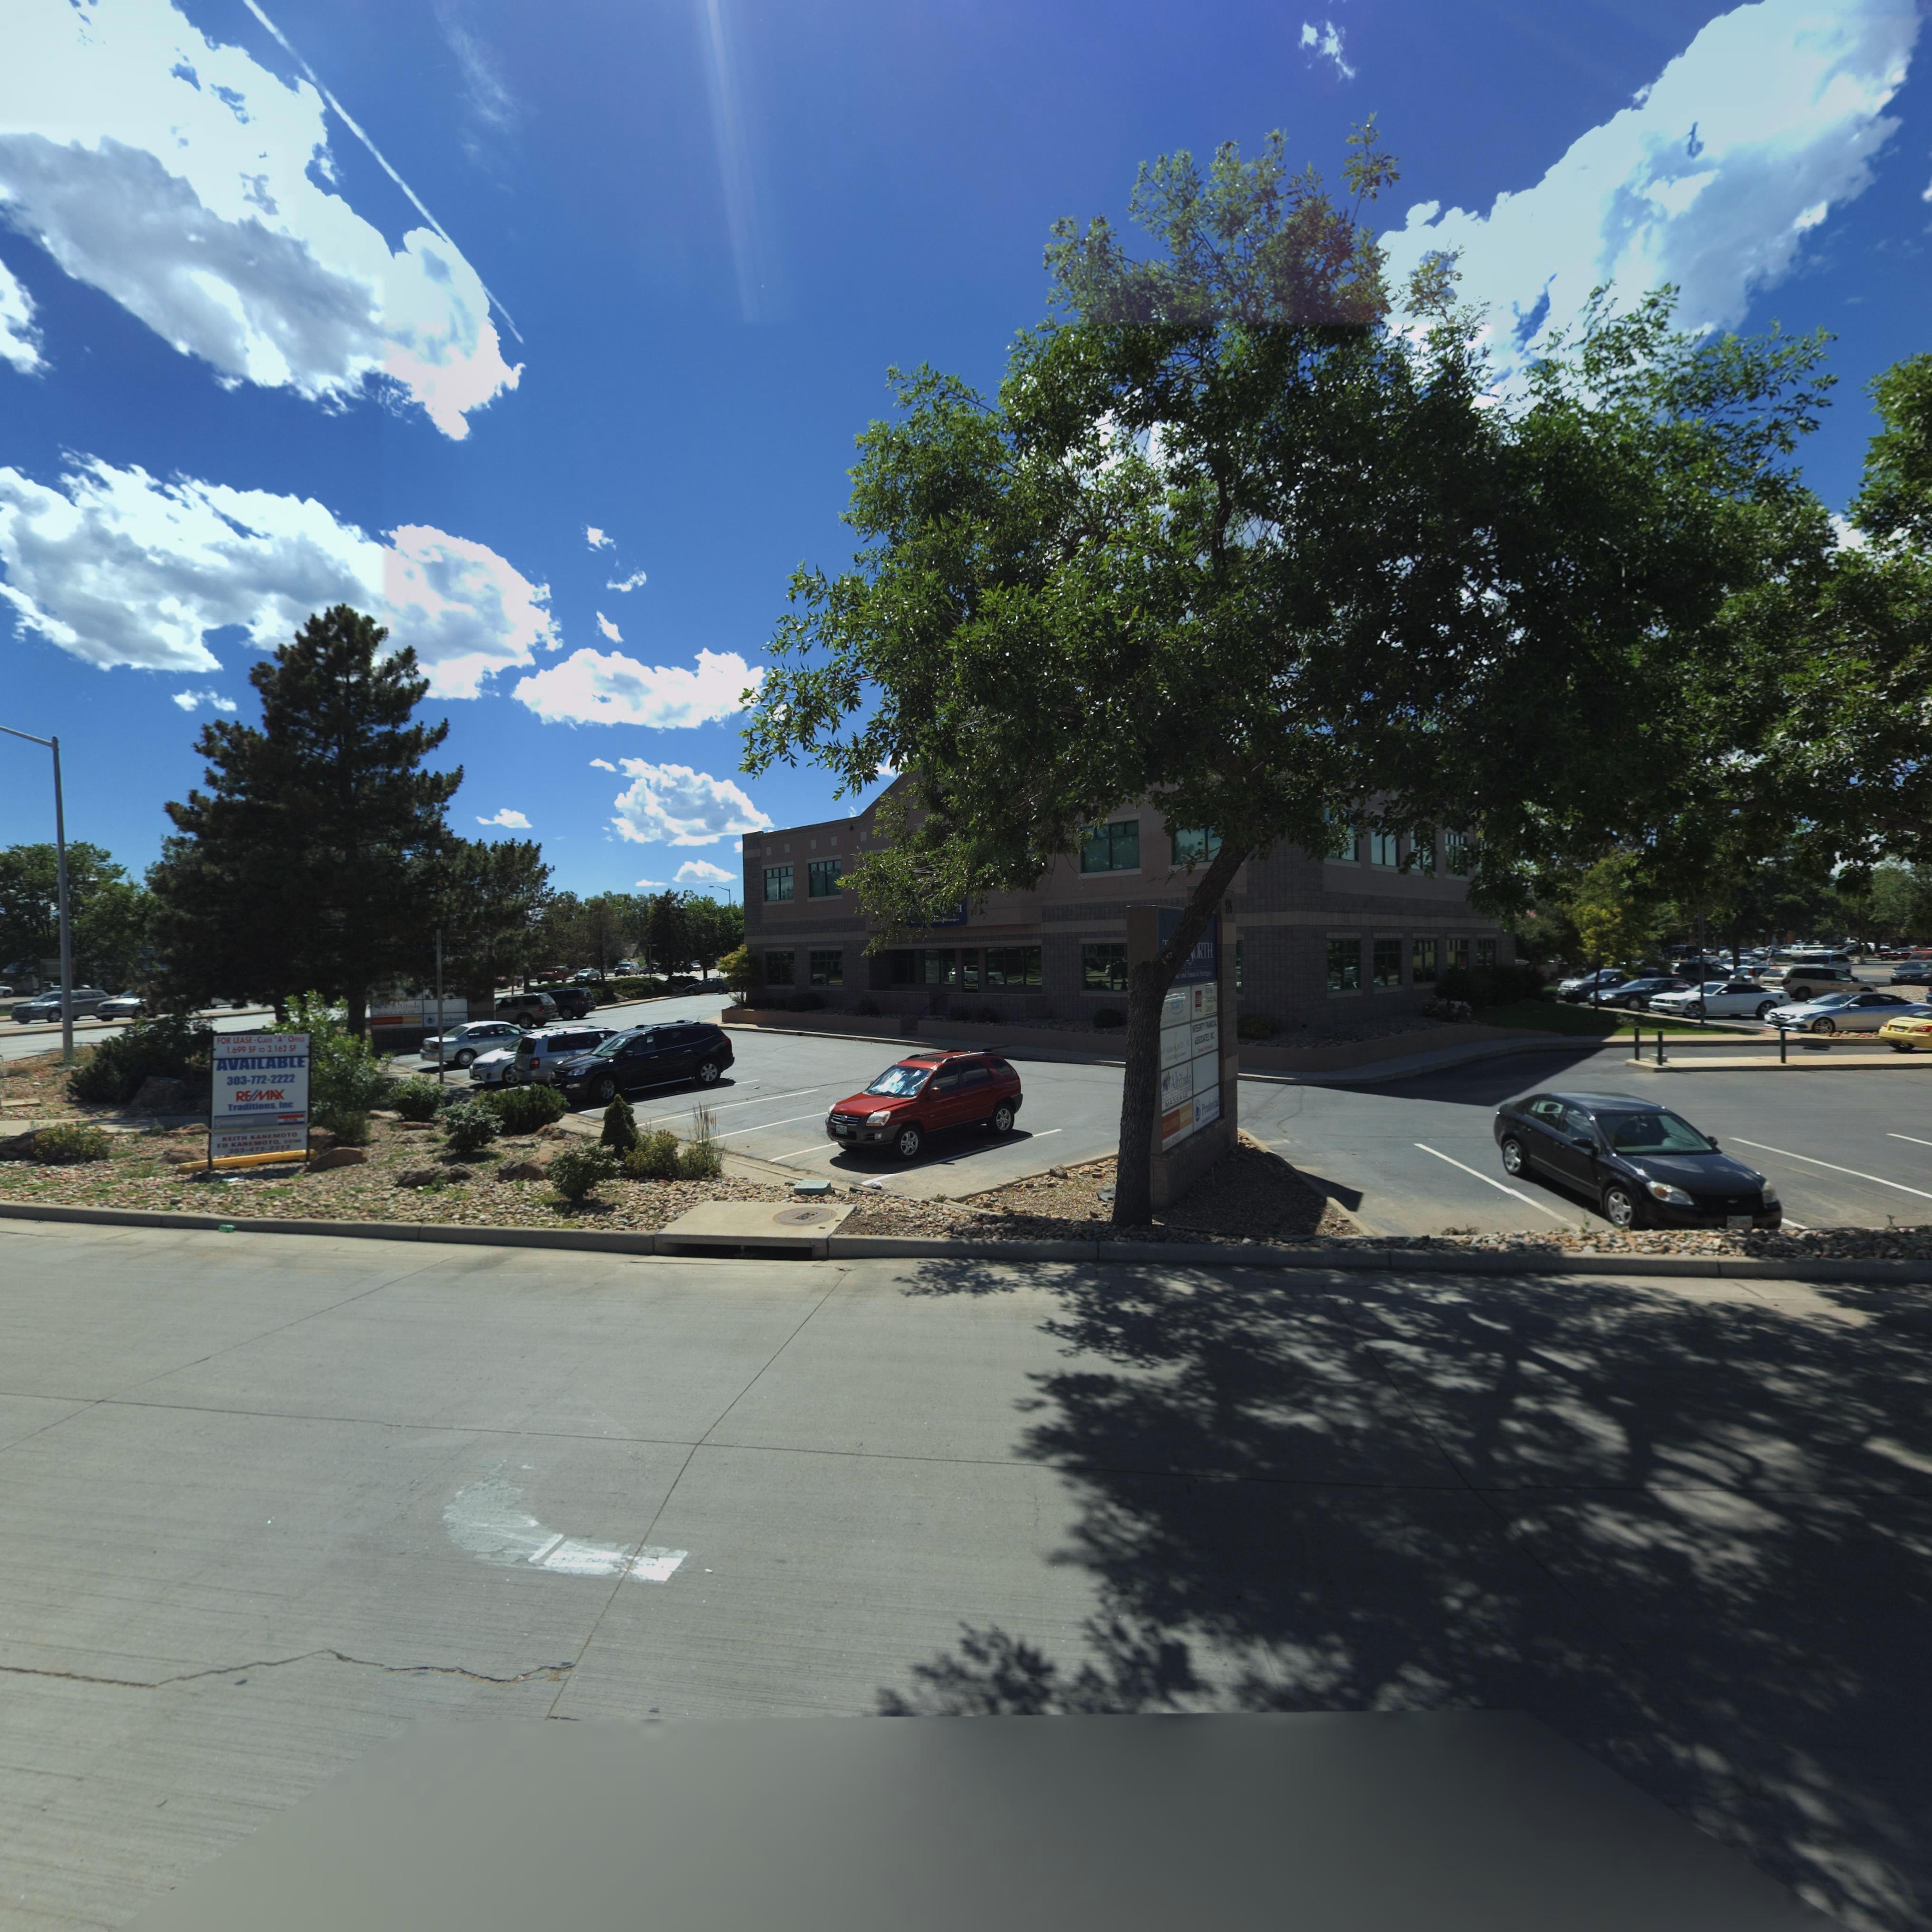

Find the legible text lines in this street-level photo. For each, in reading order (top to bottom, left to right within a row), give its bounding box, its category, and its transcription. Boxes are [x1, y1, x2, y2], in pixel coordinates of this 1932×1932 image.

[1197, 941, 1213, 960] BusinessName: RTH
[391, 1000, 421, 1010] BusinessName: Altitude
[1194, 1007, 1202, 1013] BusinessName: RFG